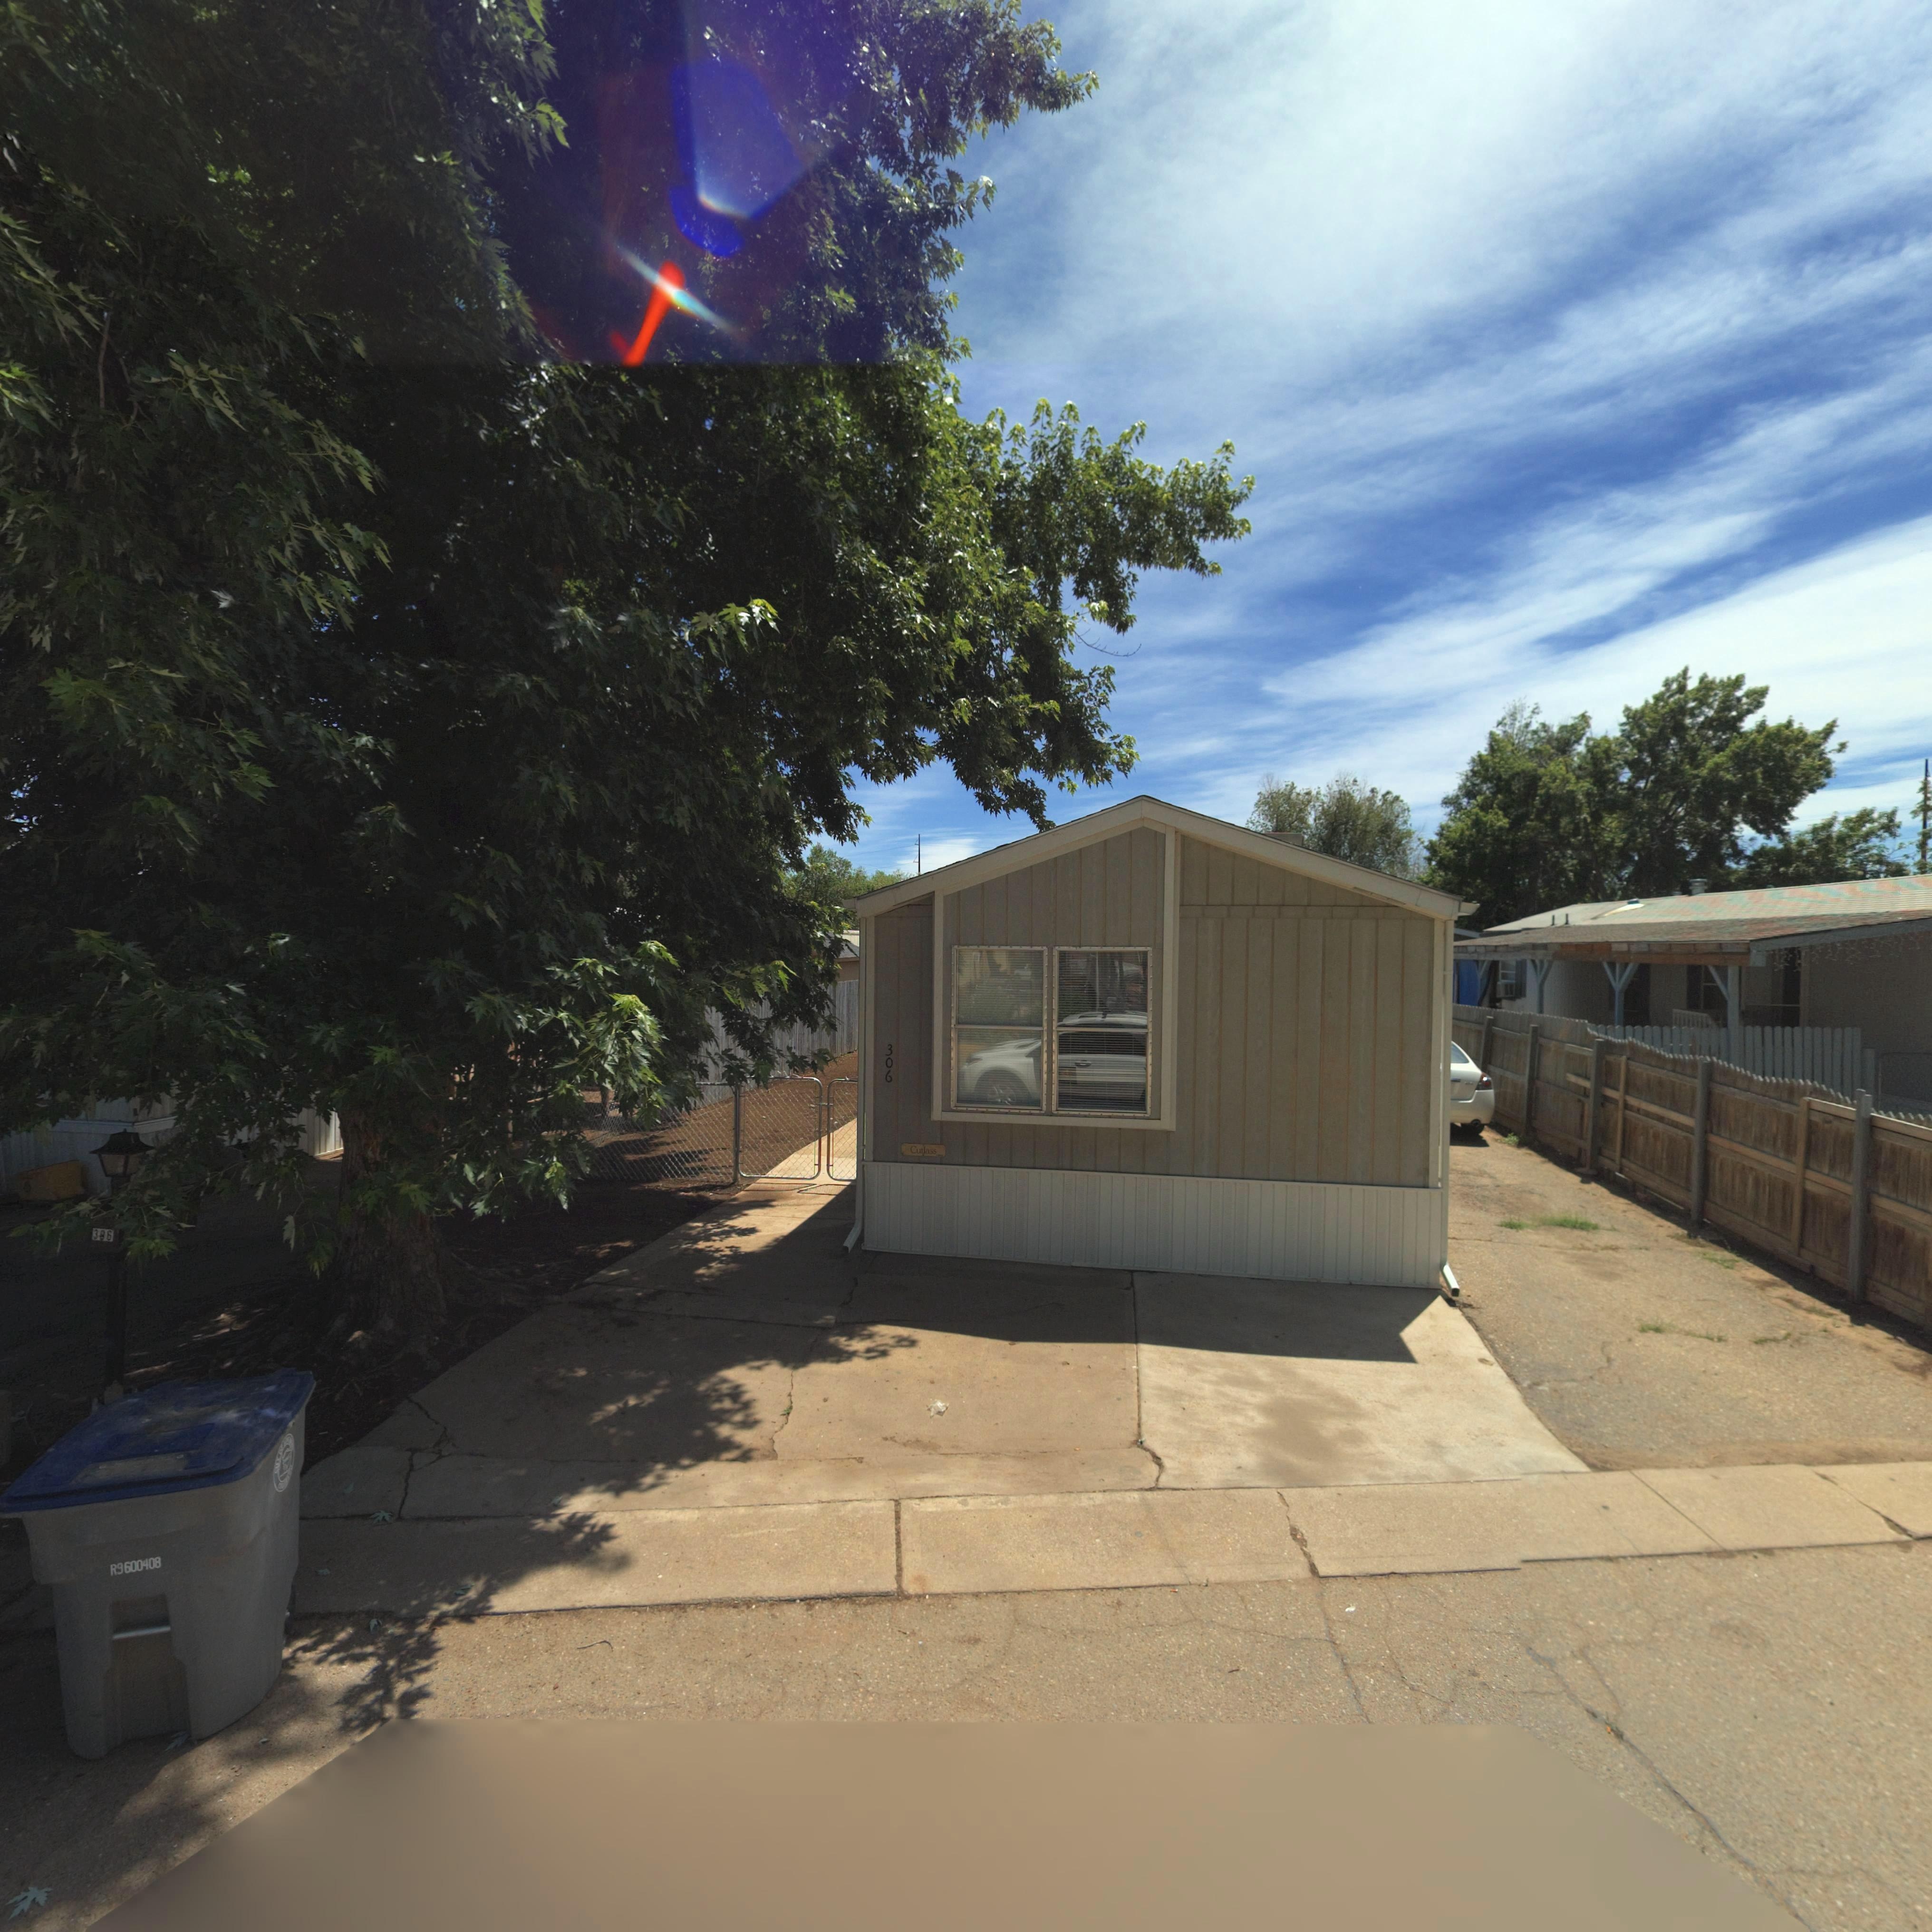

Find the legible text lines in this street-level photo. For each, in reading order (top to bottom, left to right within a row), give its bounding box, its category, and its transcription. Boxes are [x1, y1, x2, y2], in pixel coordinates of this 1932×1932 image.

[884, 1043, 893, 1083] StreetNumber: 306
[92, 1229, 113, 1241] StreetNumber: 386